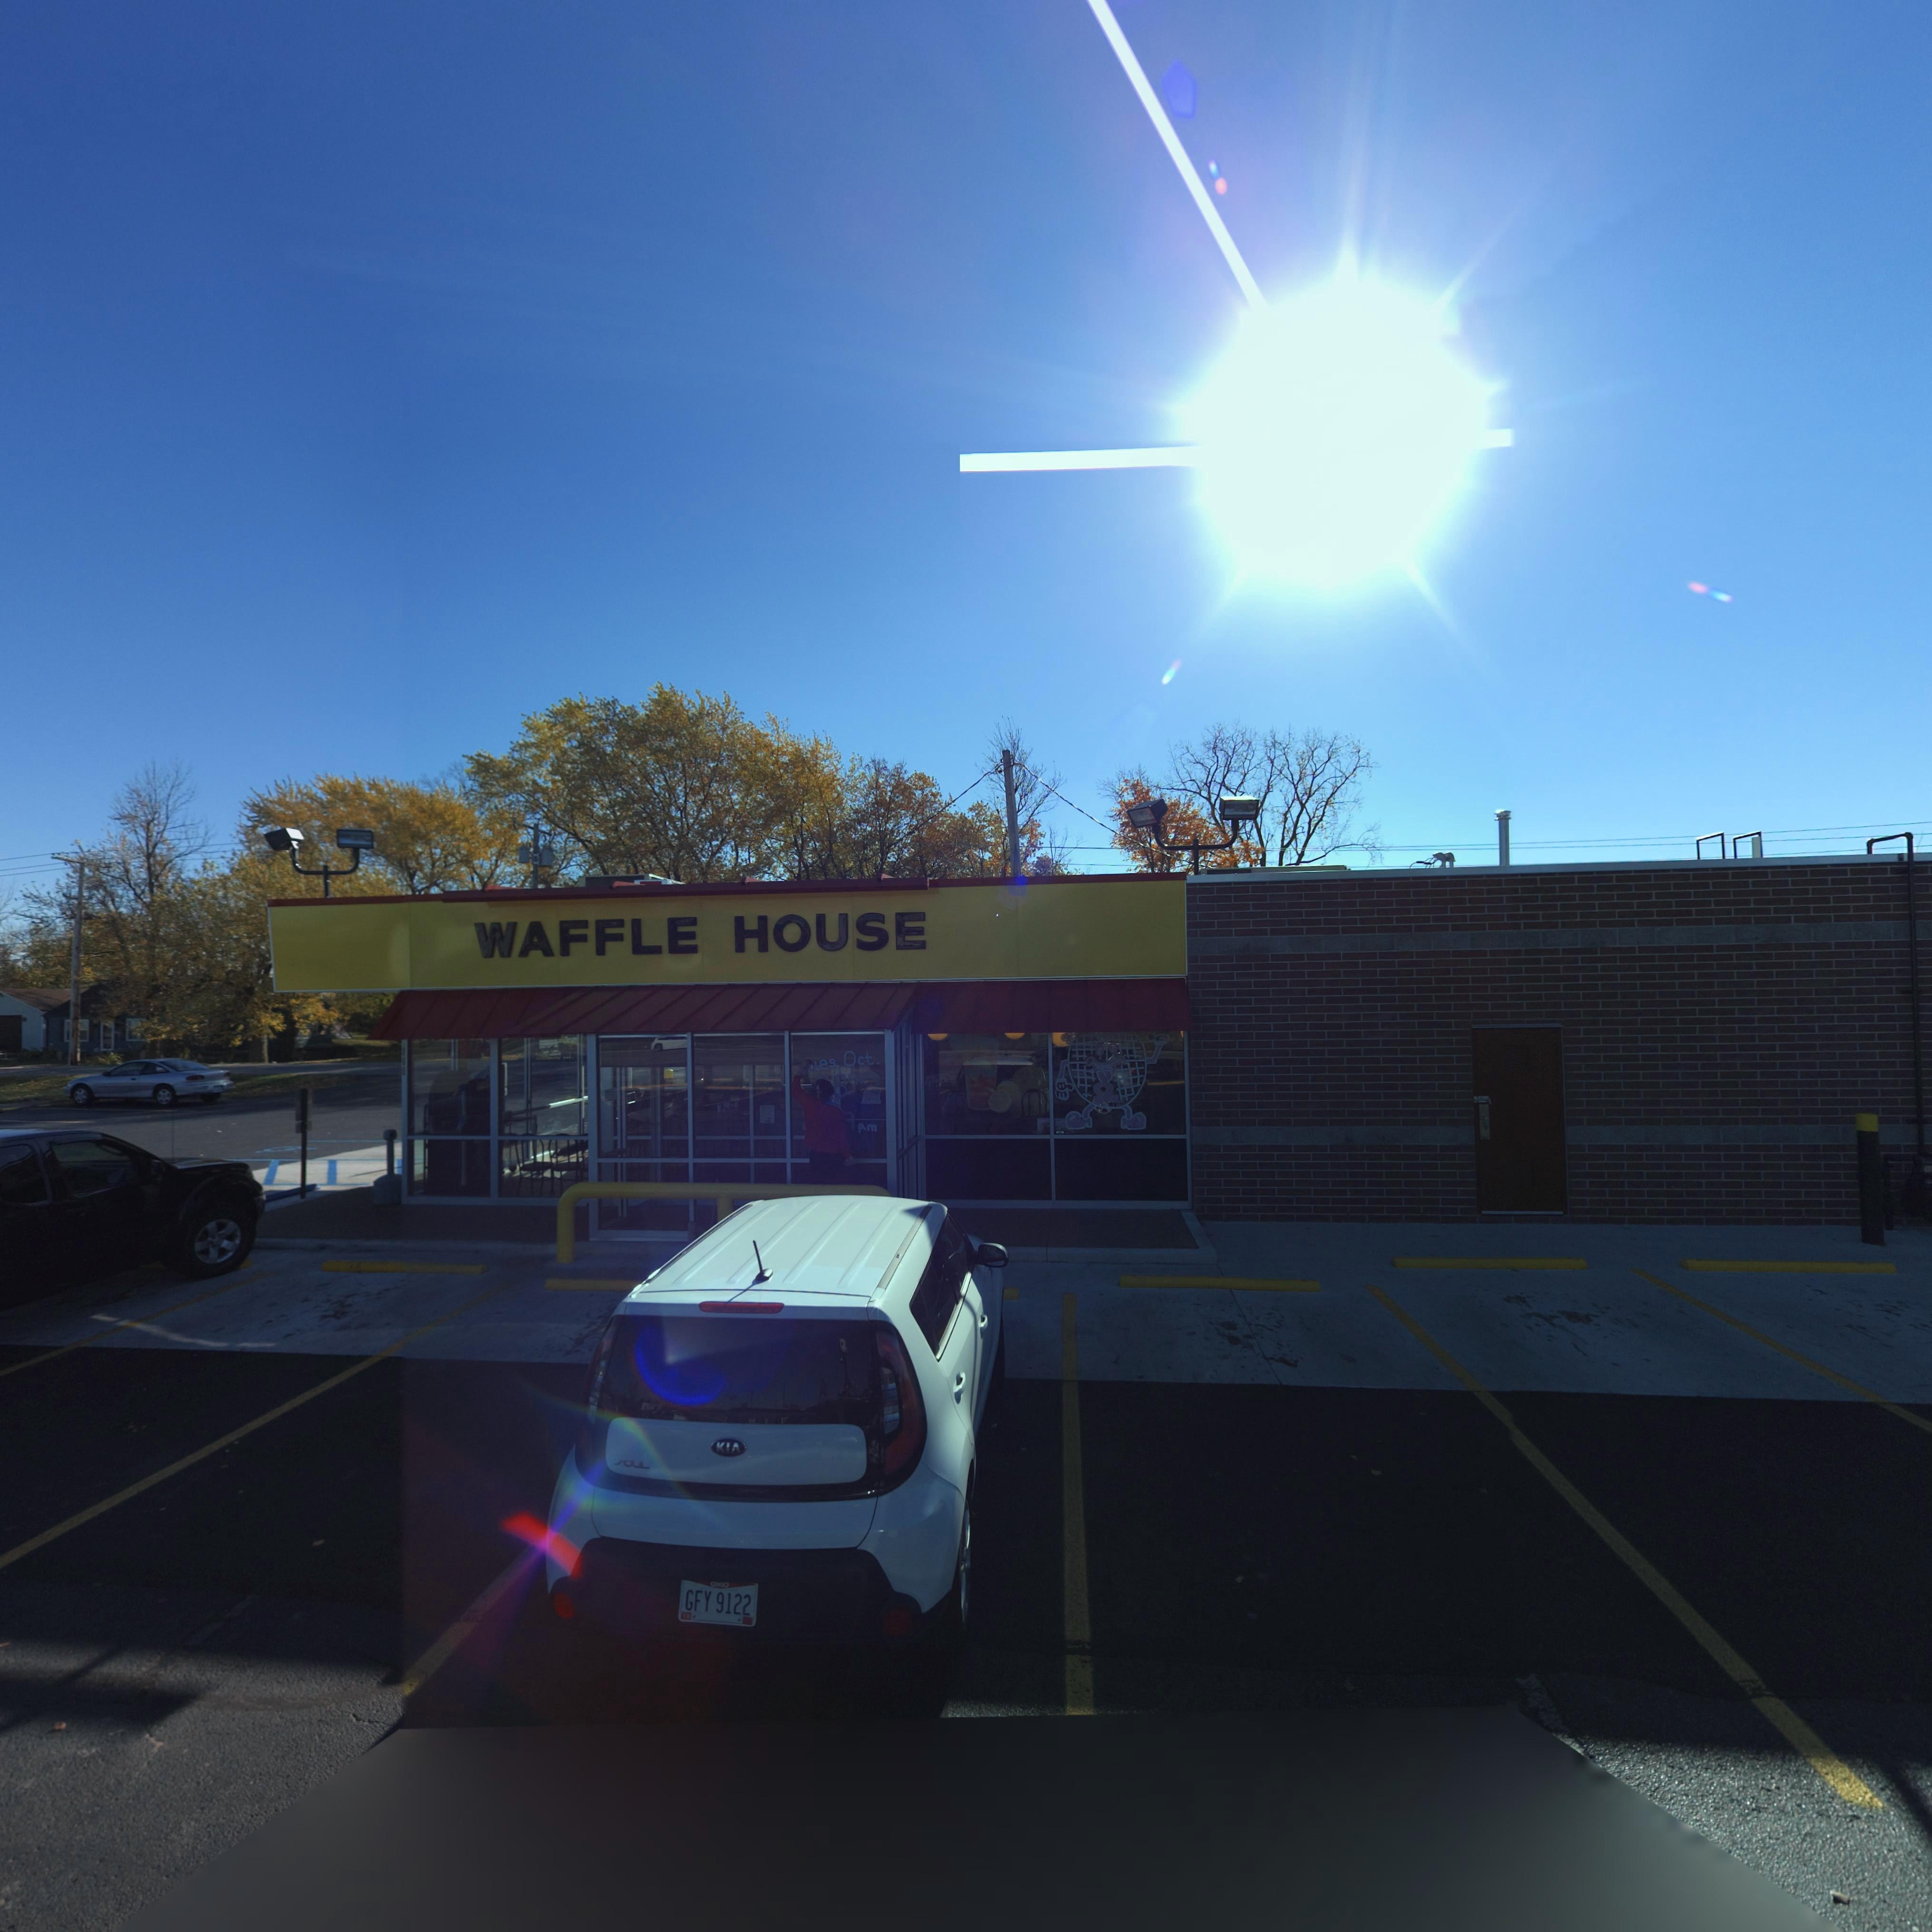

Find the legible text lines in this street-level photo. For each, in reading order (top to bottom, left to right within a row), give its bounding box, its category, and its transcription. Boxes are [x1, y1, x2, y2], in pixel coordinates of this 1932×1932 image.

[401, 1046, 406, 1075] StreetNumber: 800